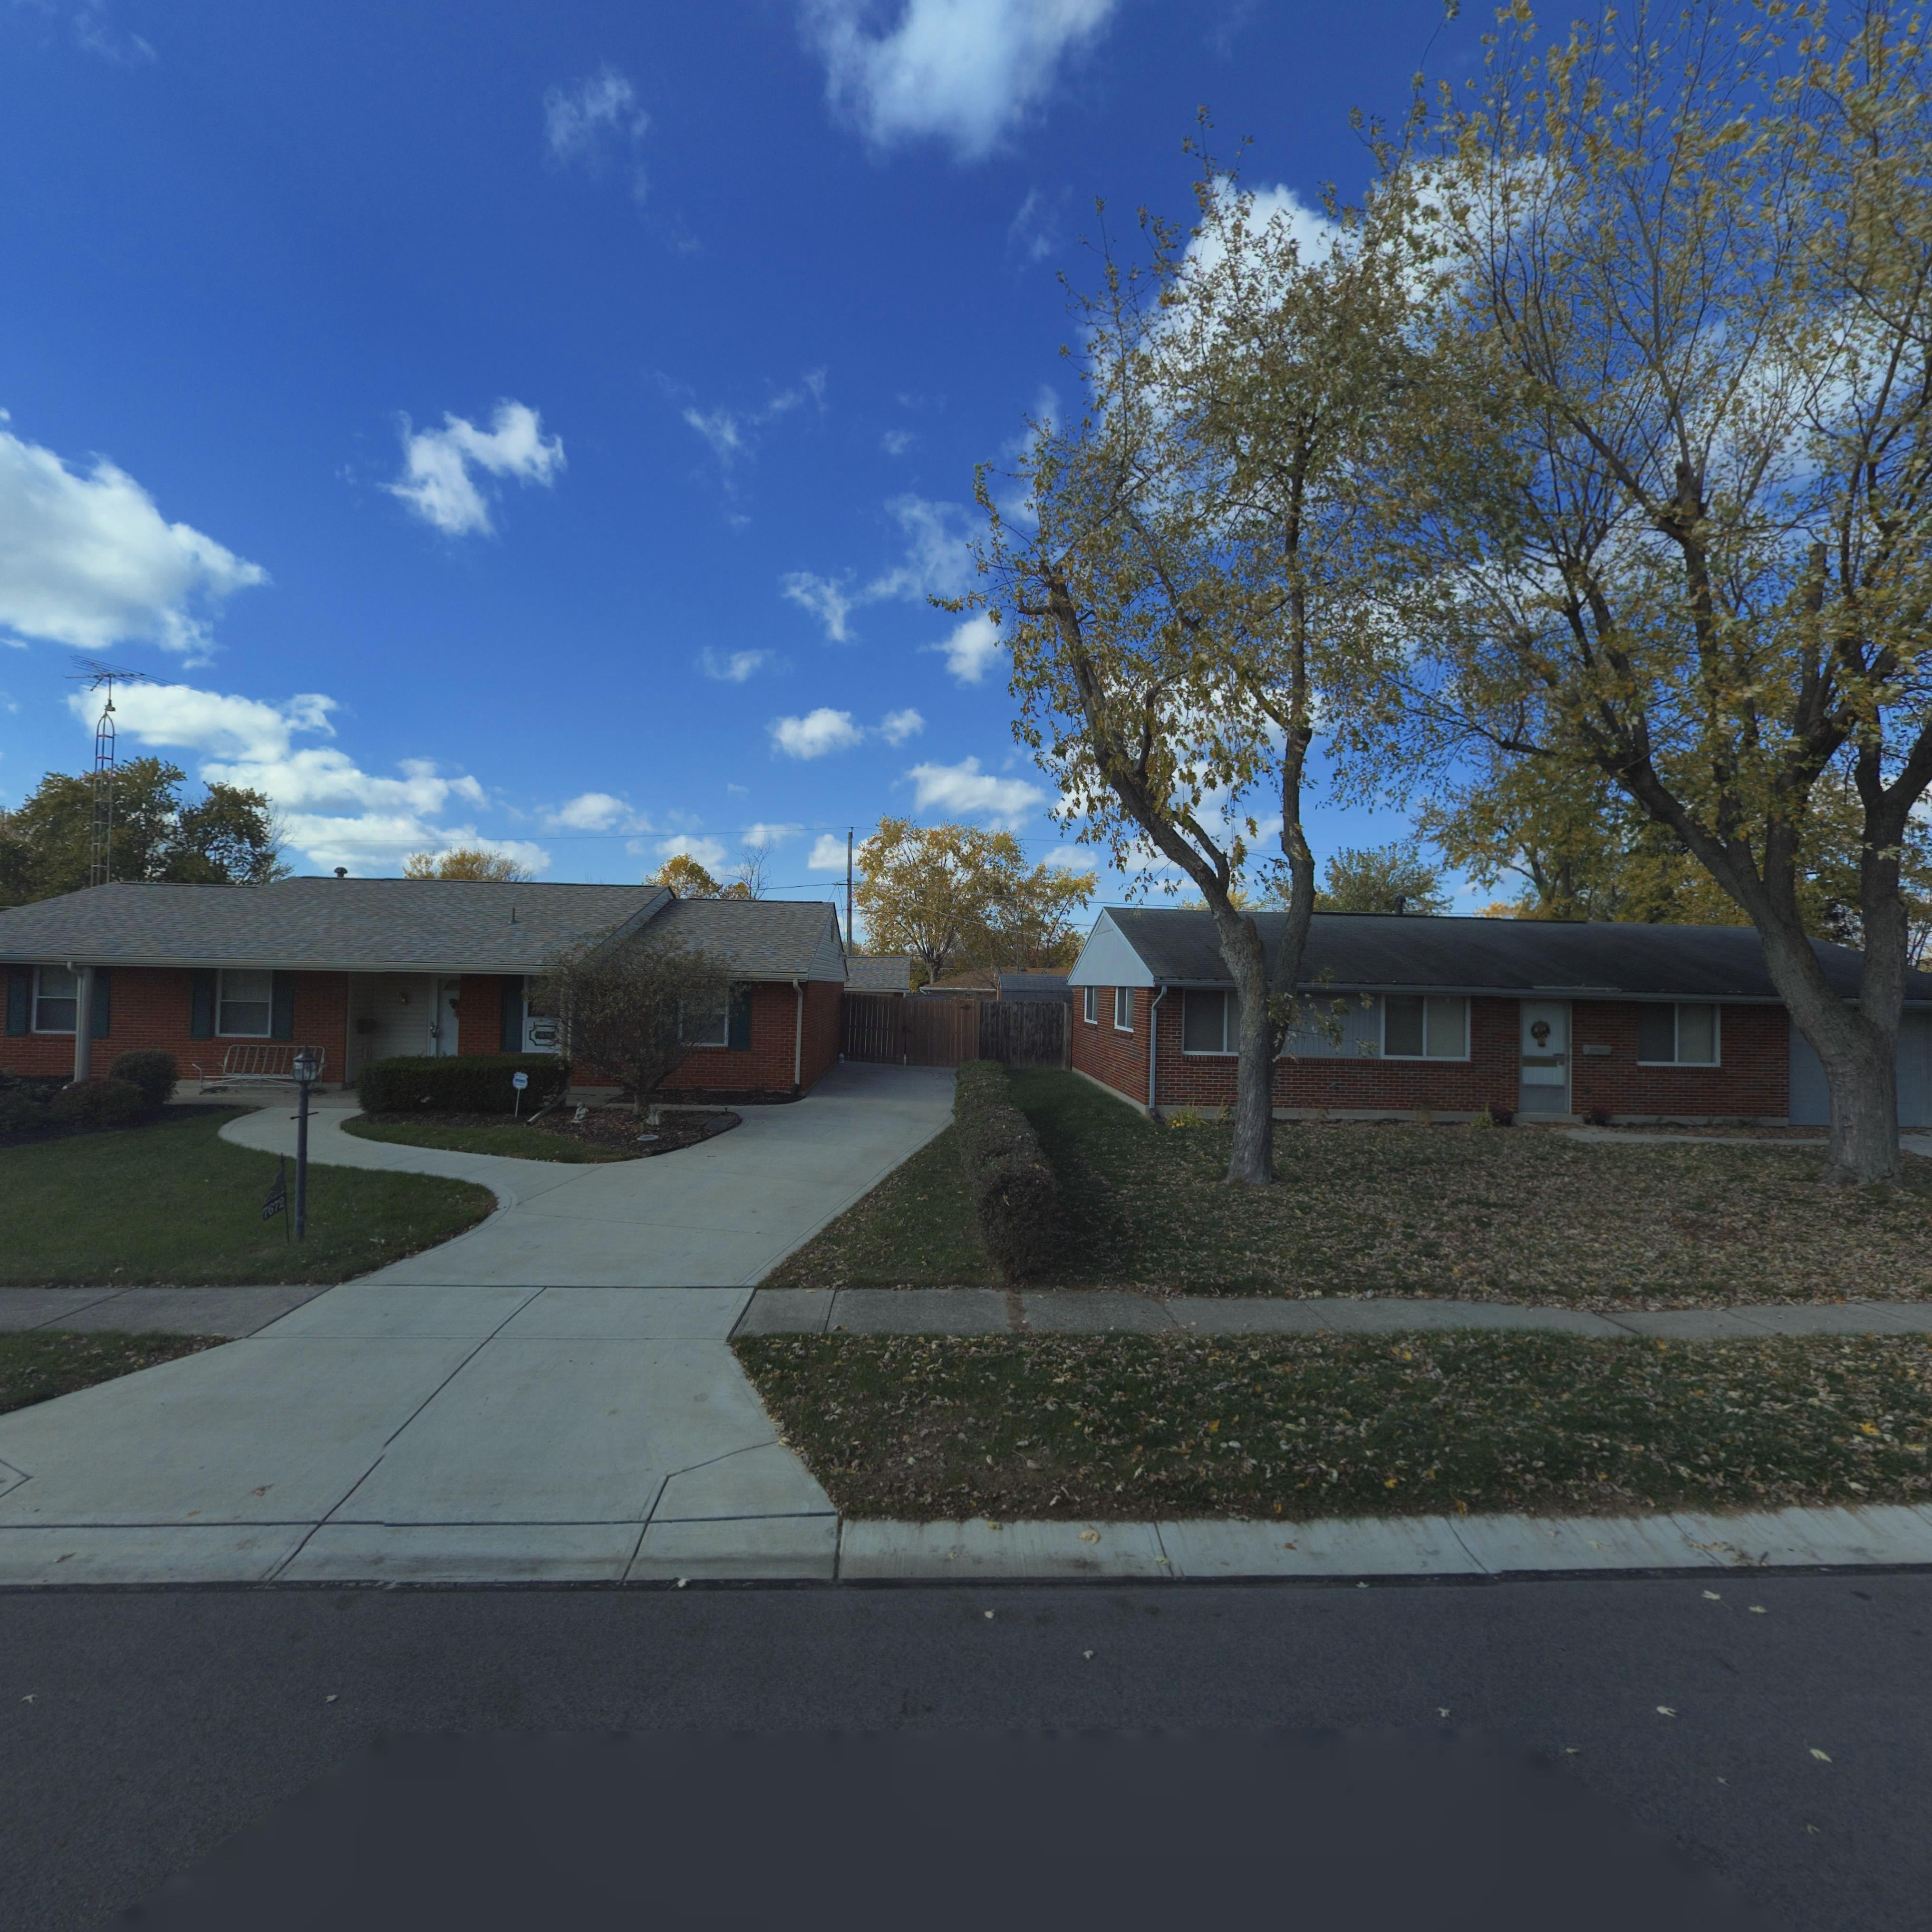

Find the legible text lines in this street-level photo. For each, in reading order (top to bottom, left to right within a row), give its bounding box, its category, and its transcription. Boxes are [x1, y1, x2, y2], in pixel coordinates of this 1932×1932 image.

[538, 1033, 553, 1039] StreetNumber: 76**
[262, 1196, 286, 1219] StreetNumber: 7672